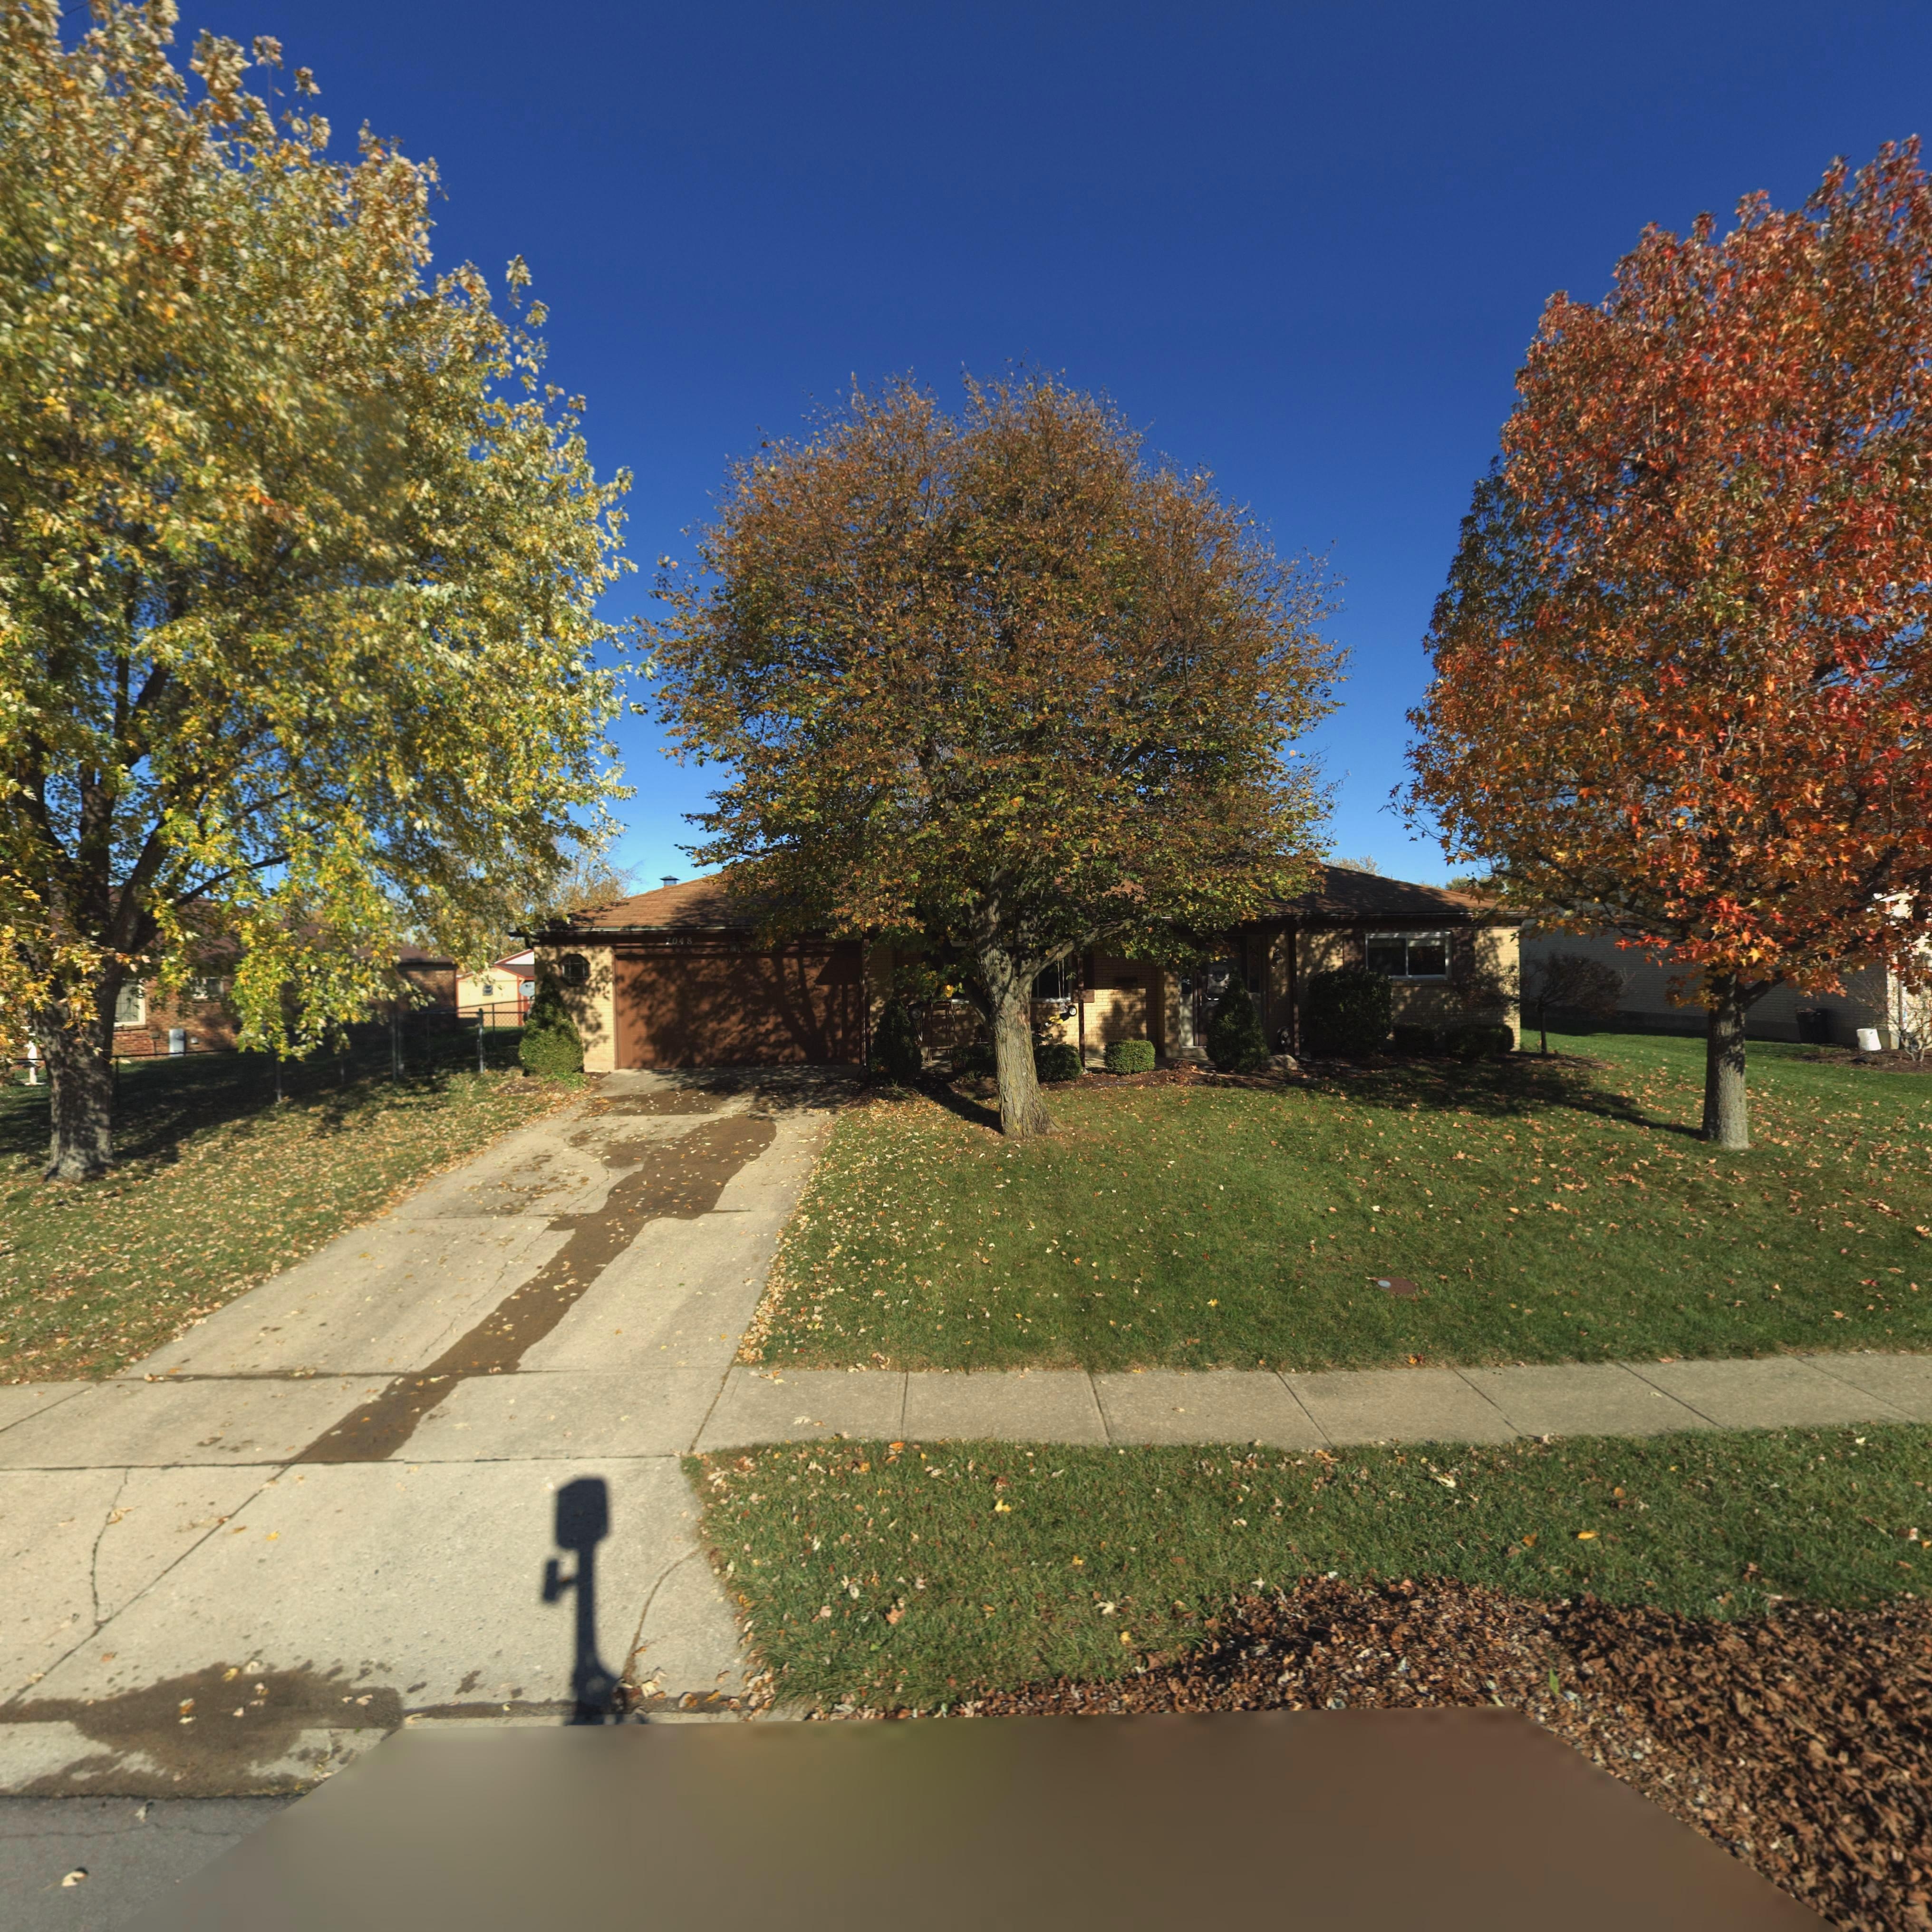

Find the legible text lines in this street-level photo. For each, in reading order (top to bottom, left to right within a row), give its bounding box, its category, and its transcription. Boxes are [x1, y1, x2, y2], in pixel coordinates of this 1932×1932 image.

[665, 937, 693, 945] StreetNumber: 7048